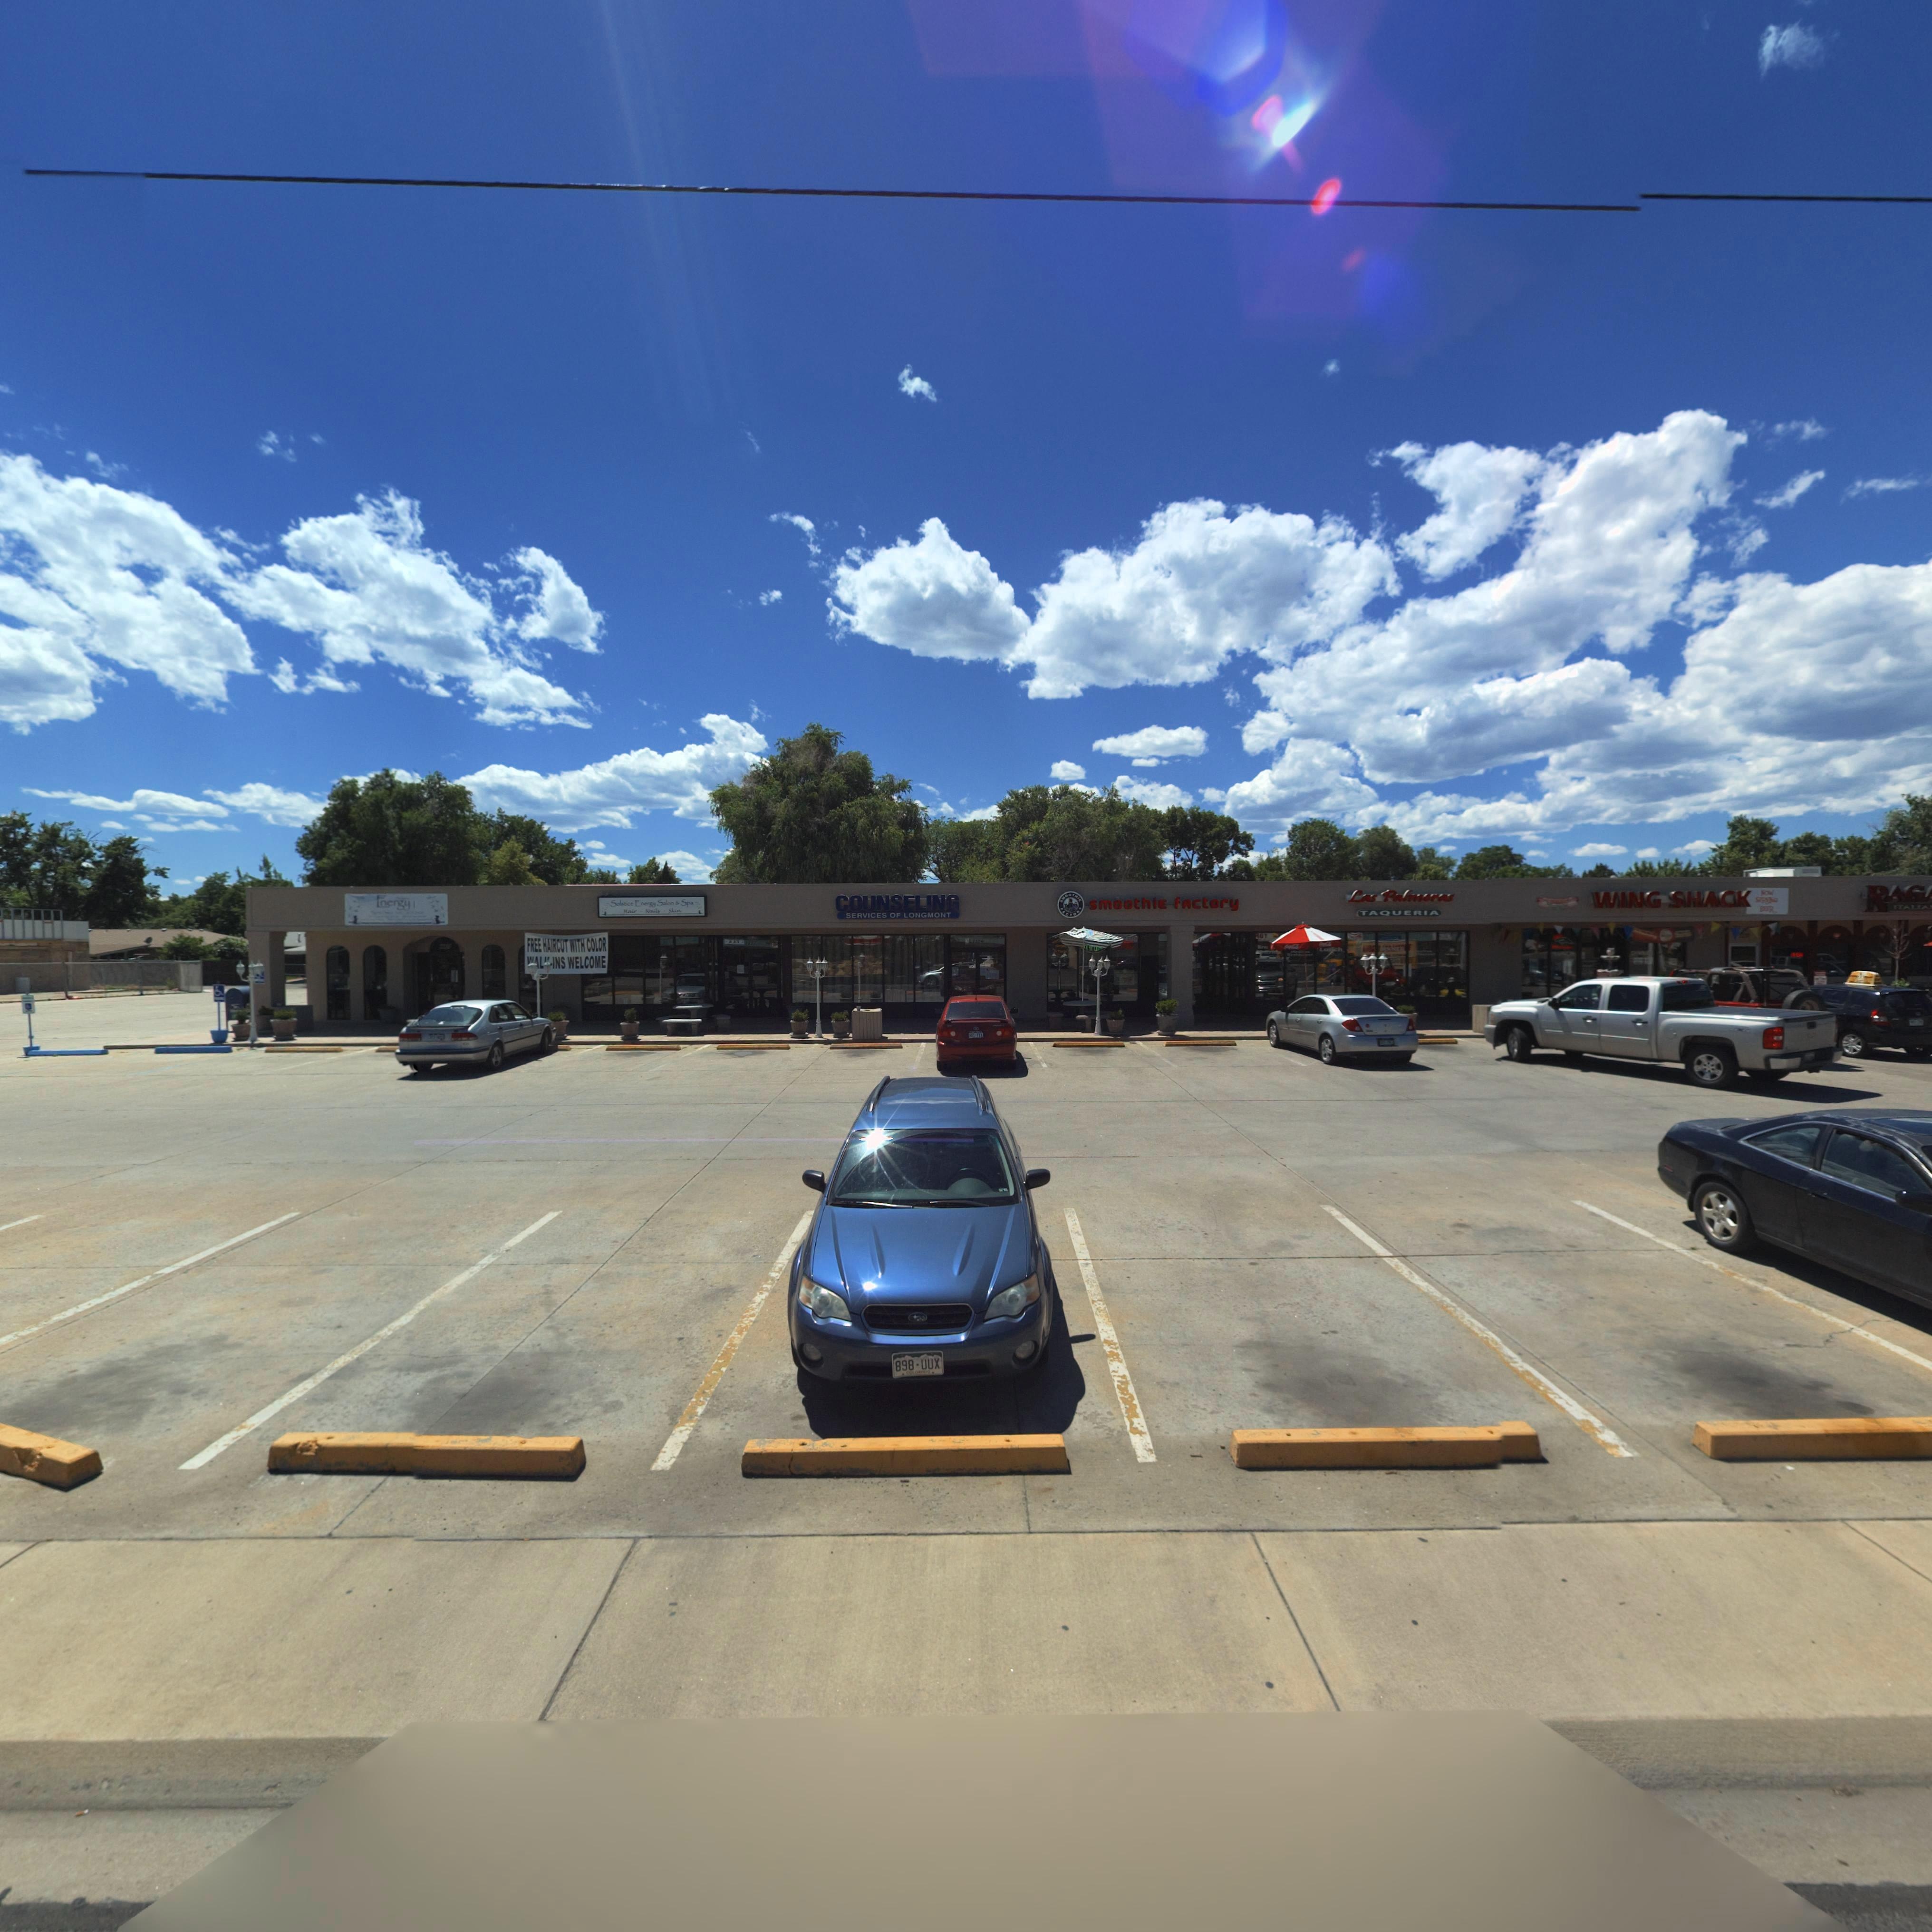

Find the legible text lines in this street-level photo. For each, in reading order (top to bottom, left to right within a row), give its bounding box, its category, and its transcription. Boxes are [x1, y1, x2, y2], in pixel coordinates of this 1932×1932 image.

[376, 894, 410, 910] BusinessName: Energy
[609, 898, 694, 908] BusinessName: Sols*ice Energy Salon & Spa
[834, 894, 959, 911] BusinessName: COUNSELING
[846, 912, 951, 918] BusinessName: SERVICES OF LONGMONT
[1060, 893, 1081, 902] BusinessName: **OOTHIE
[1060, 907, 1082, 917] BusinessName: **CTOR*
[1089, 897, 1239, 911] BusinessName: smoothiE fActory
[1360, 910, 1439, 916] BusinessName: TAQUERIA
[1347, 889, 1455, 902] BusinessName: Las Palm*ras
[1593, 889, 1752, 908] BusinessName: WING SHACK
[1862, 884, 1926, 912] BusinessName: RAG
[1893, 905, 1929, 910] BusinessName: ITALIA
[745, 941, 756, 945] StreetNumber: 1**7
[973, 939, 984, 943] StreetNumber: 13**